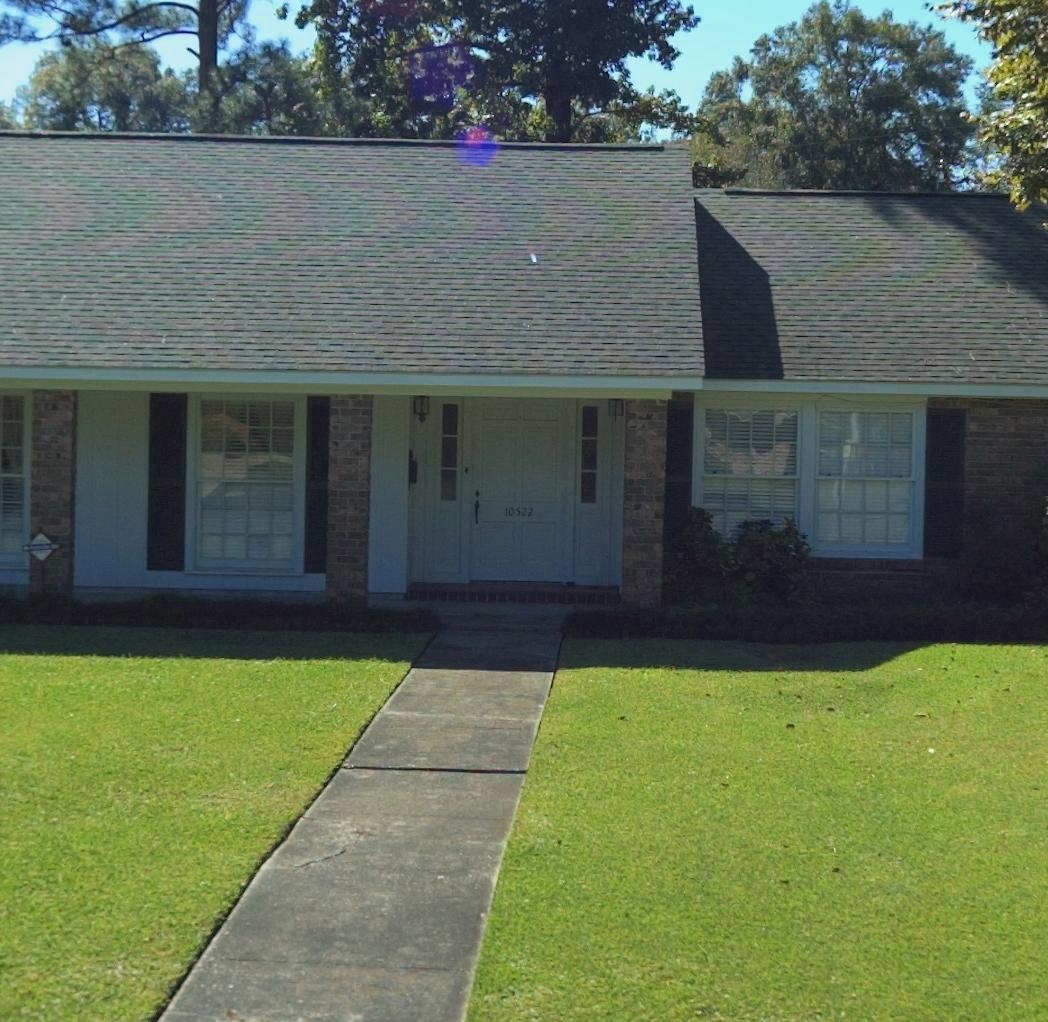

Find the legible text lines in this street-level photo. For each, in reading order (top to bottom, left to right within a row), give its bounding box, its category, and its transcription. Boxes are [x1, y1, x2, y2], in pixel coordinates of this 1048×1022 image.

[503, 505, 535, 519] StreetNumber: 10522